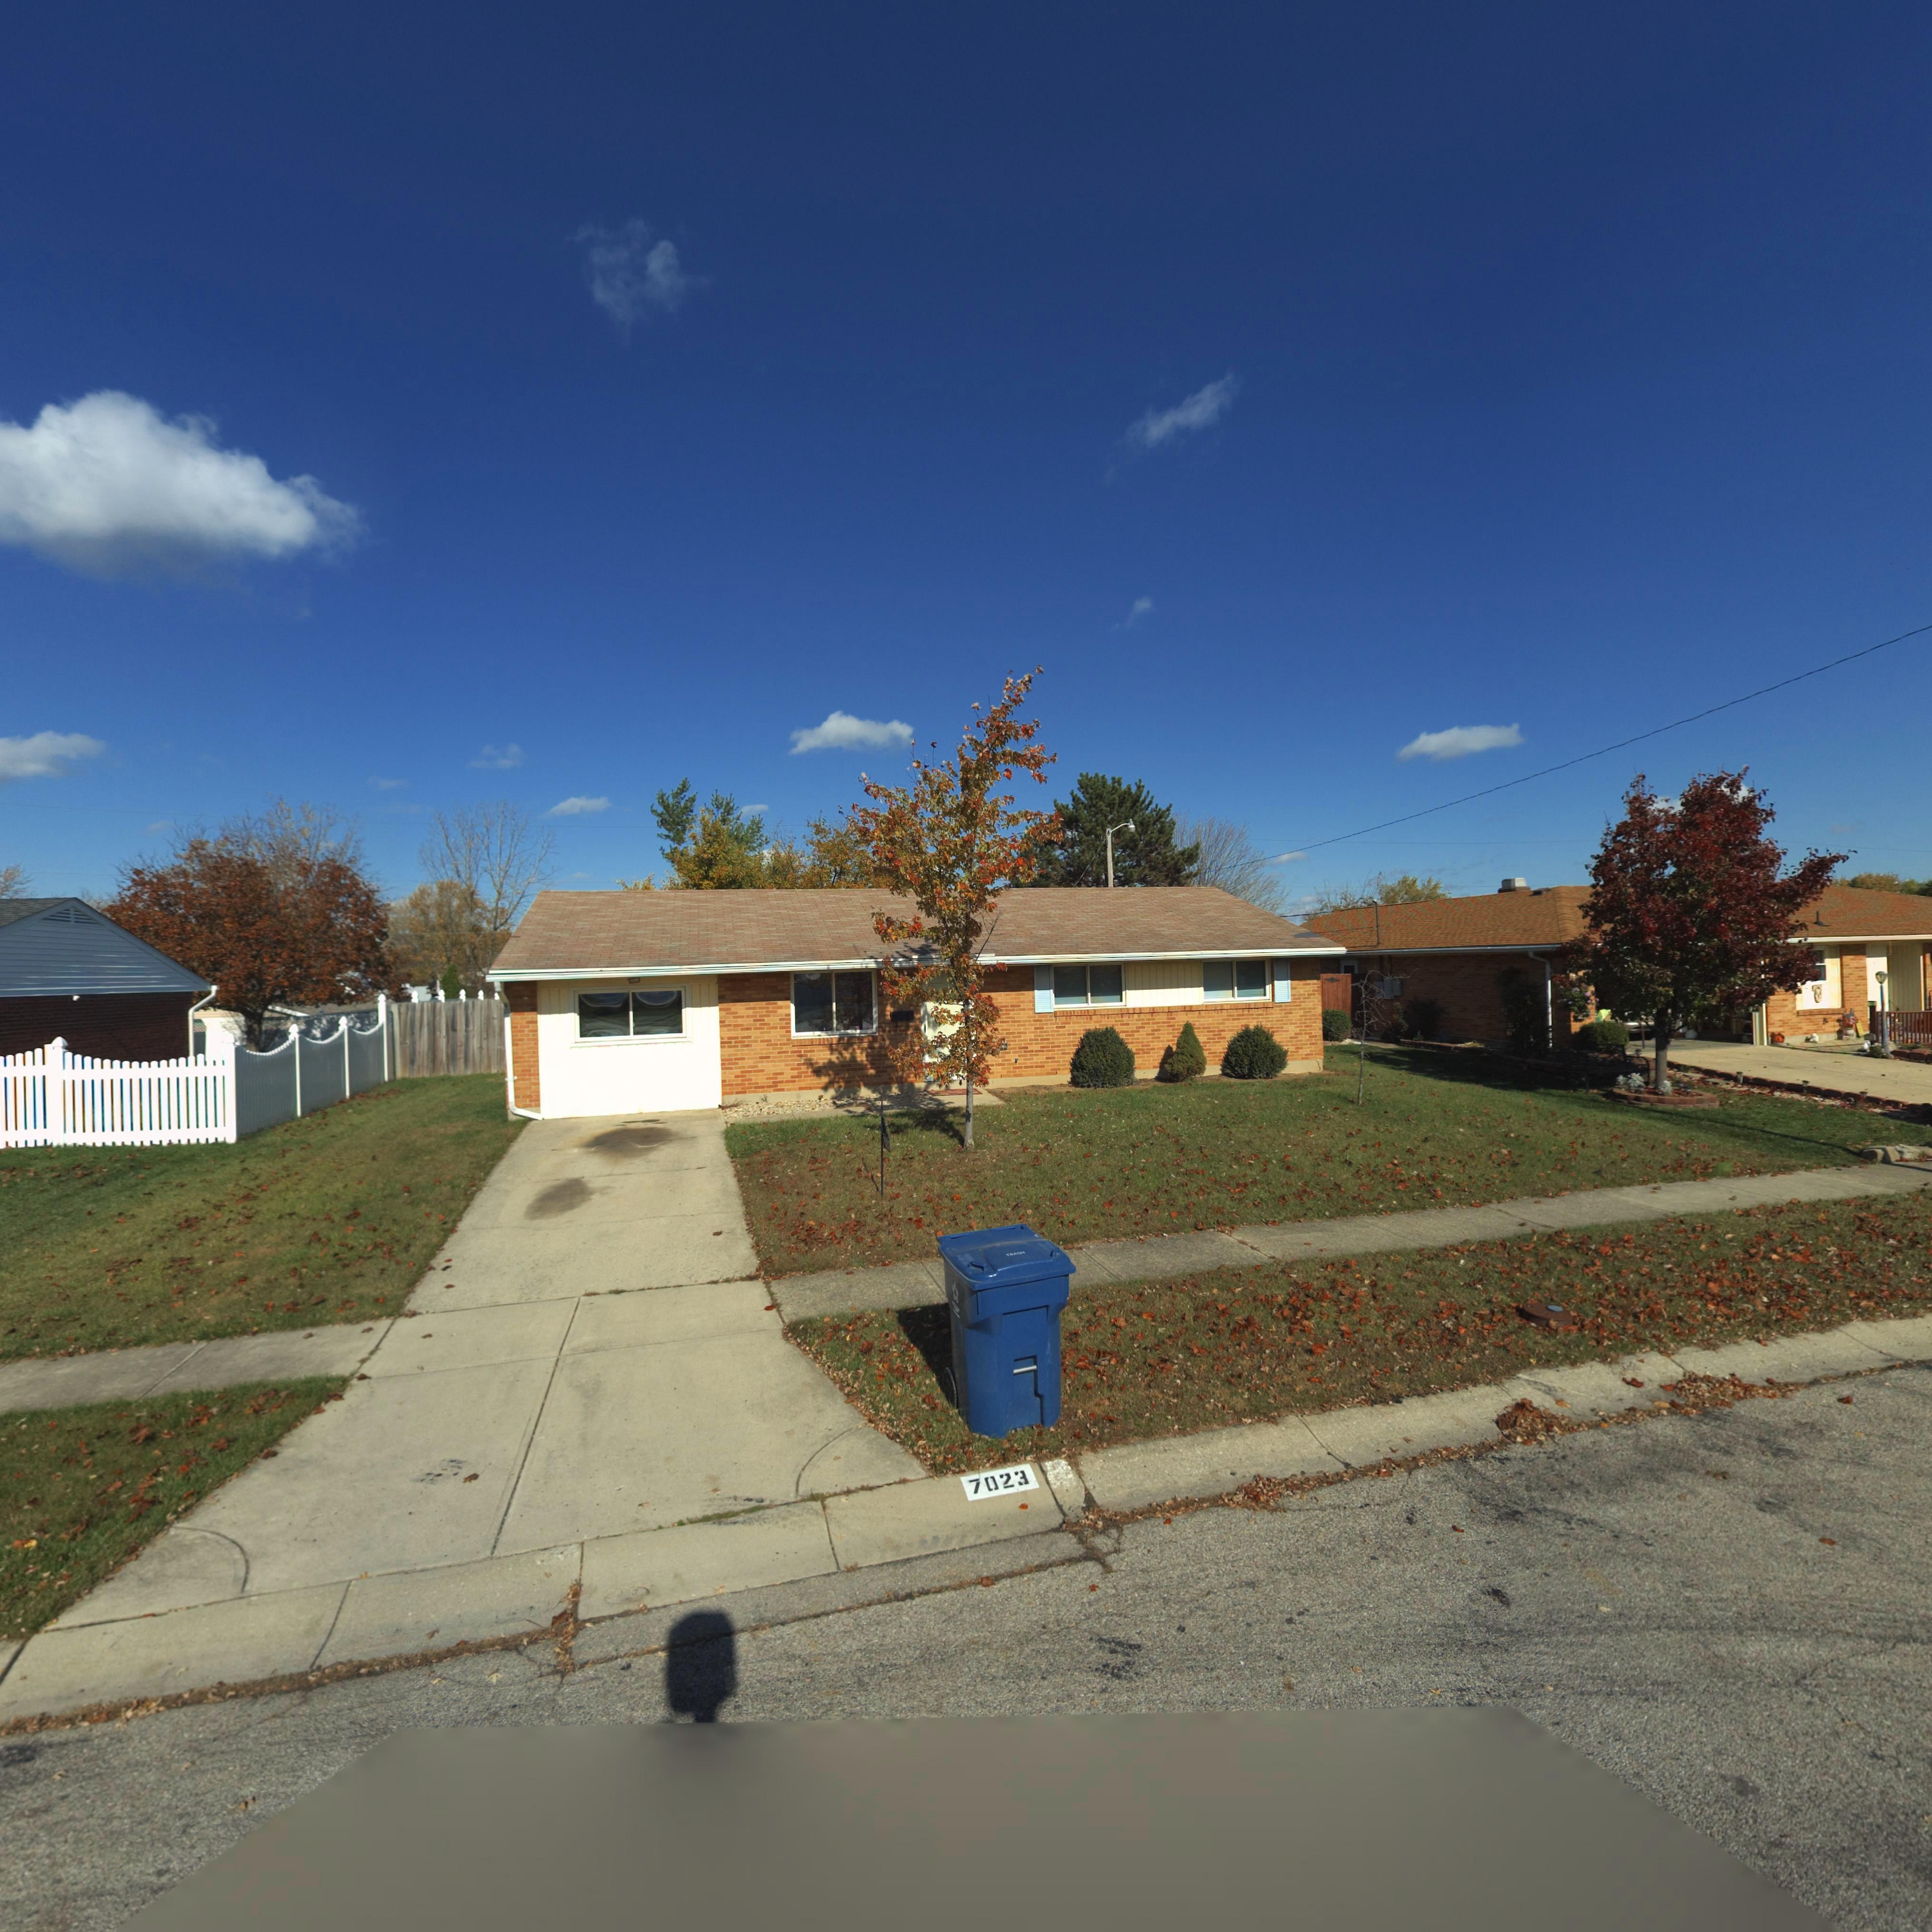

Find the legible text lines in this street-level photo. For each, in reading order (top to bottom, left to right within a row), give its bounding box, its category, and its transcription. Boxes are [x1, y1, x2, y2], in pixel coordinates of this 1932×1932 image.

[966, 1468, 1031, 1496] StreetNumber: 7023